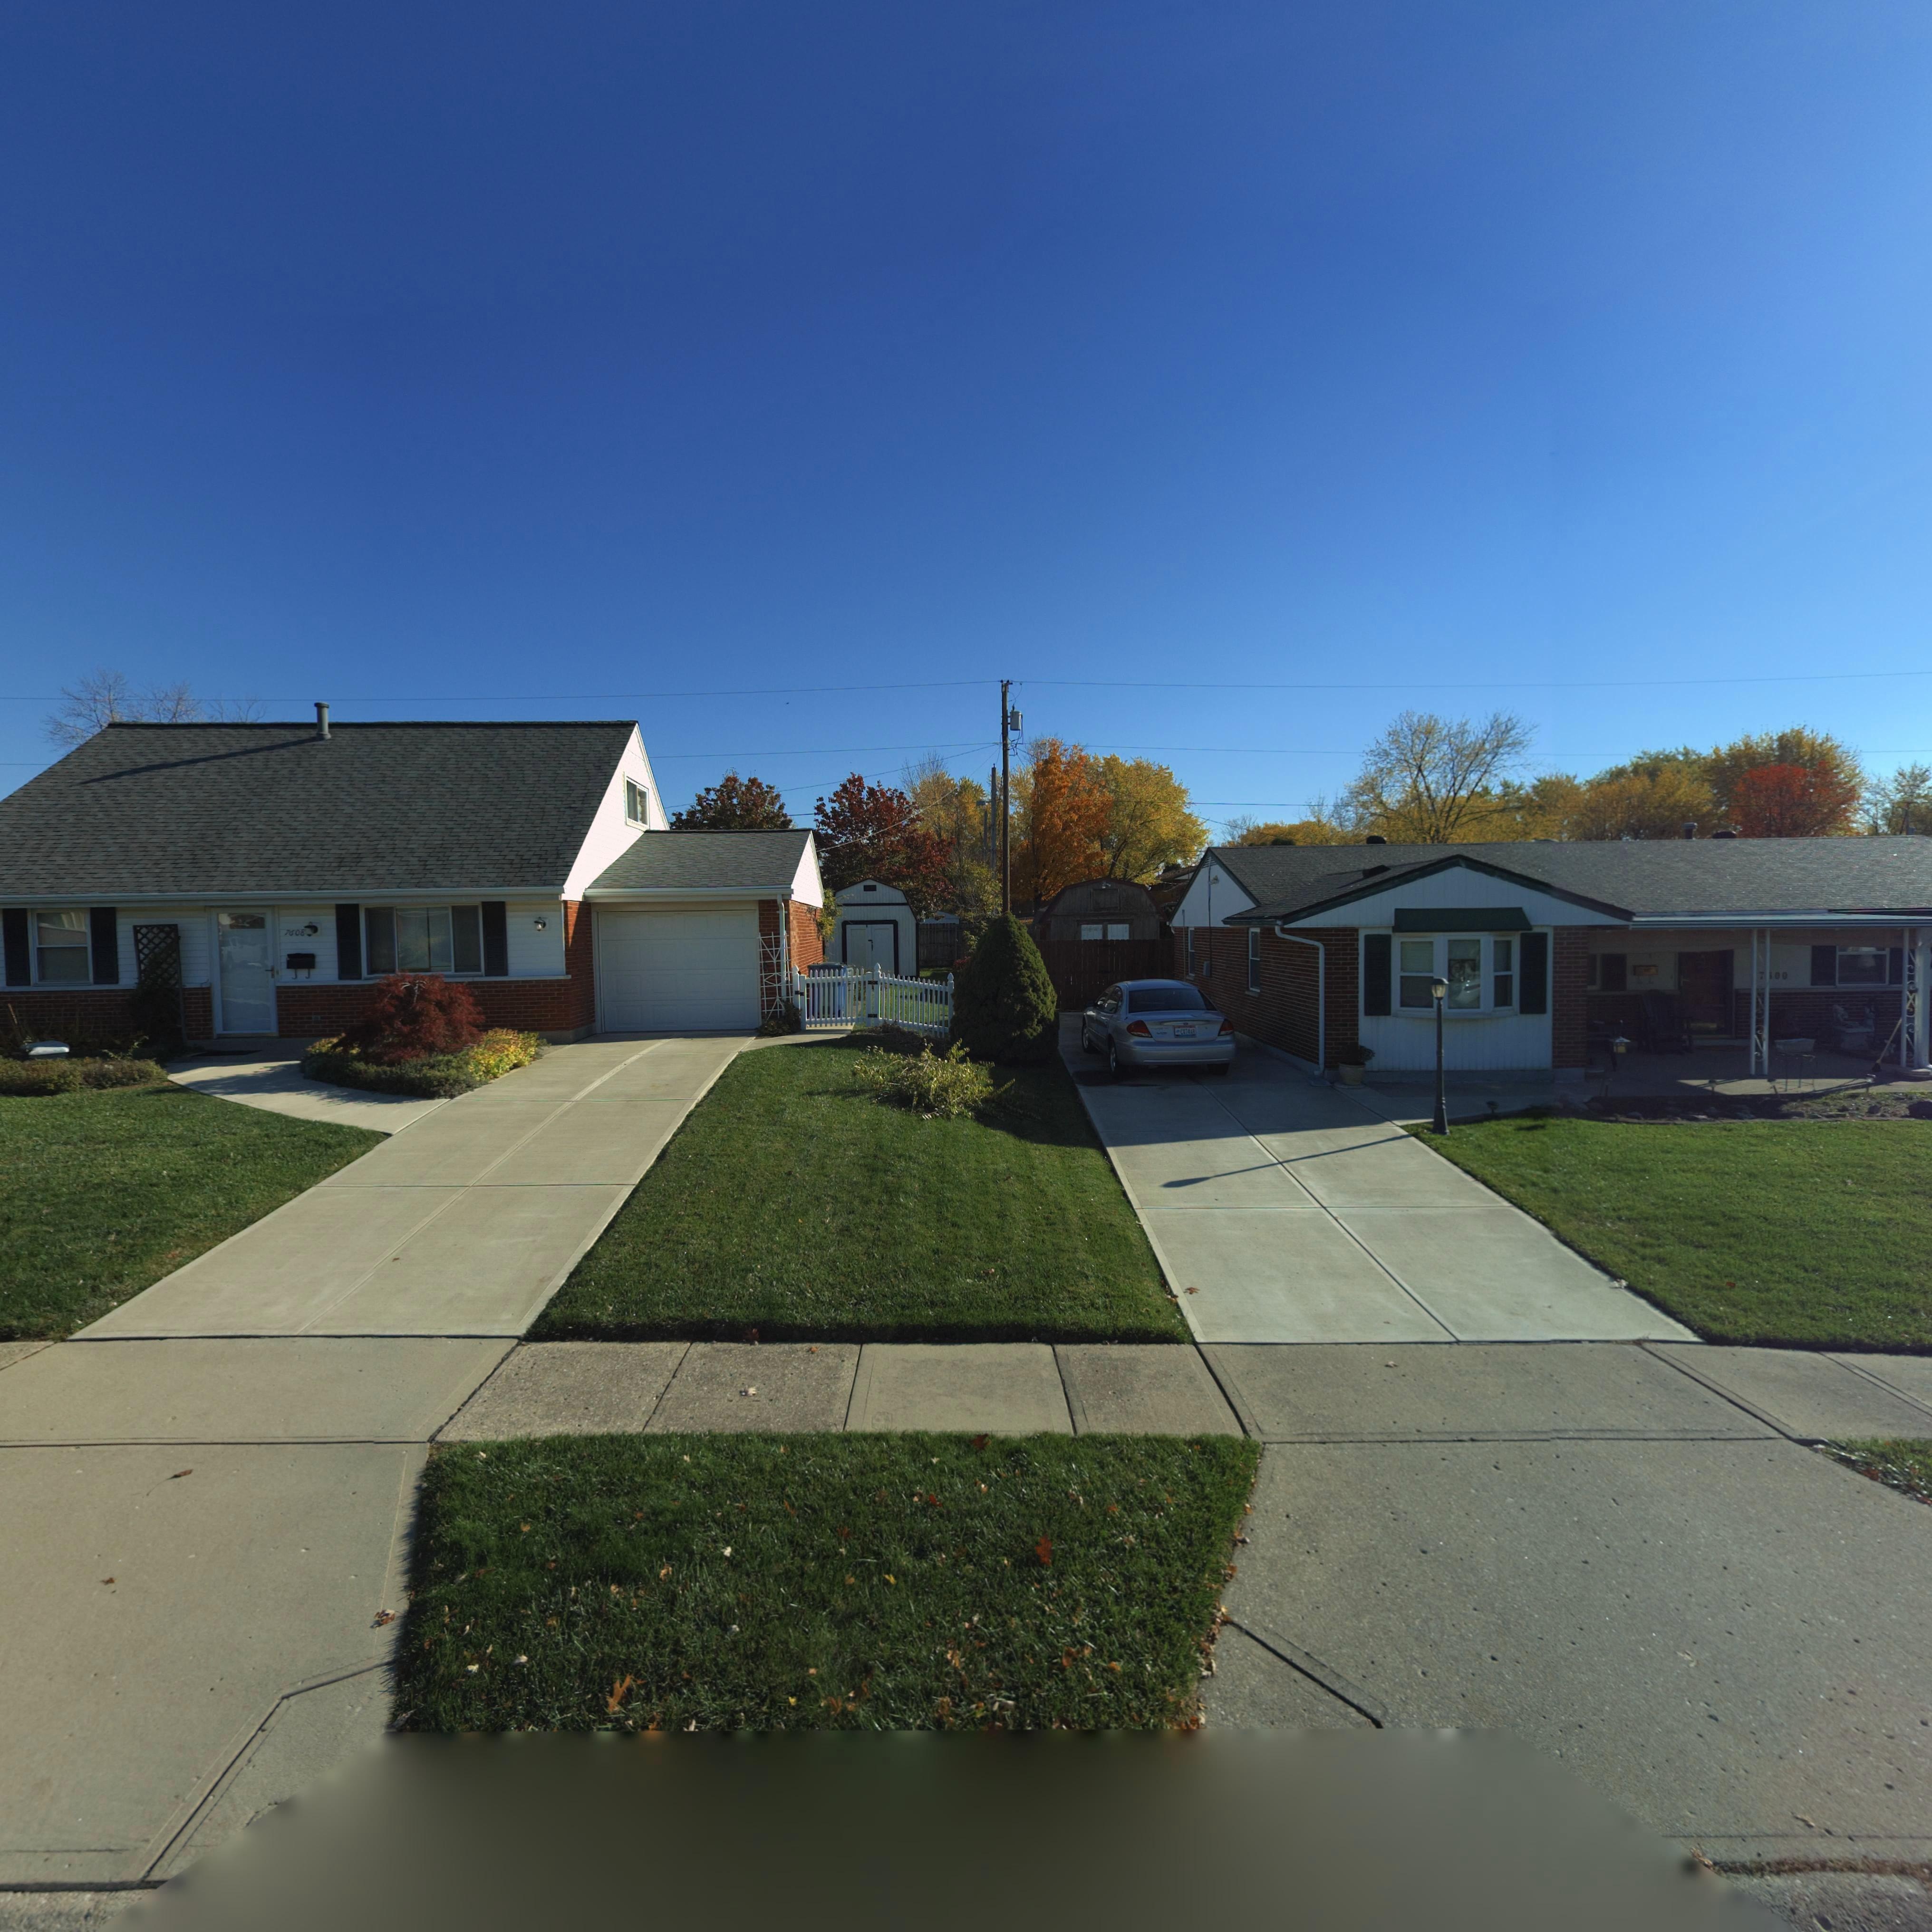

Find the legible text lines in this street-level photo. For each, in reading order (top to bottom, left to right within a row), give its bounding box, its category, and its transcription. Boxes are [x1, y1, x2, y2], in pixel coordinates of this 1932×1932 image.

[283, 927, 306, 937] StreetNumber: 7608
[1758, 970, 1789, 982] StreetNumber: 7*00